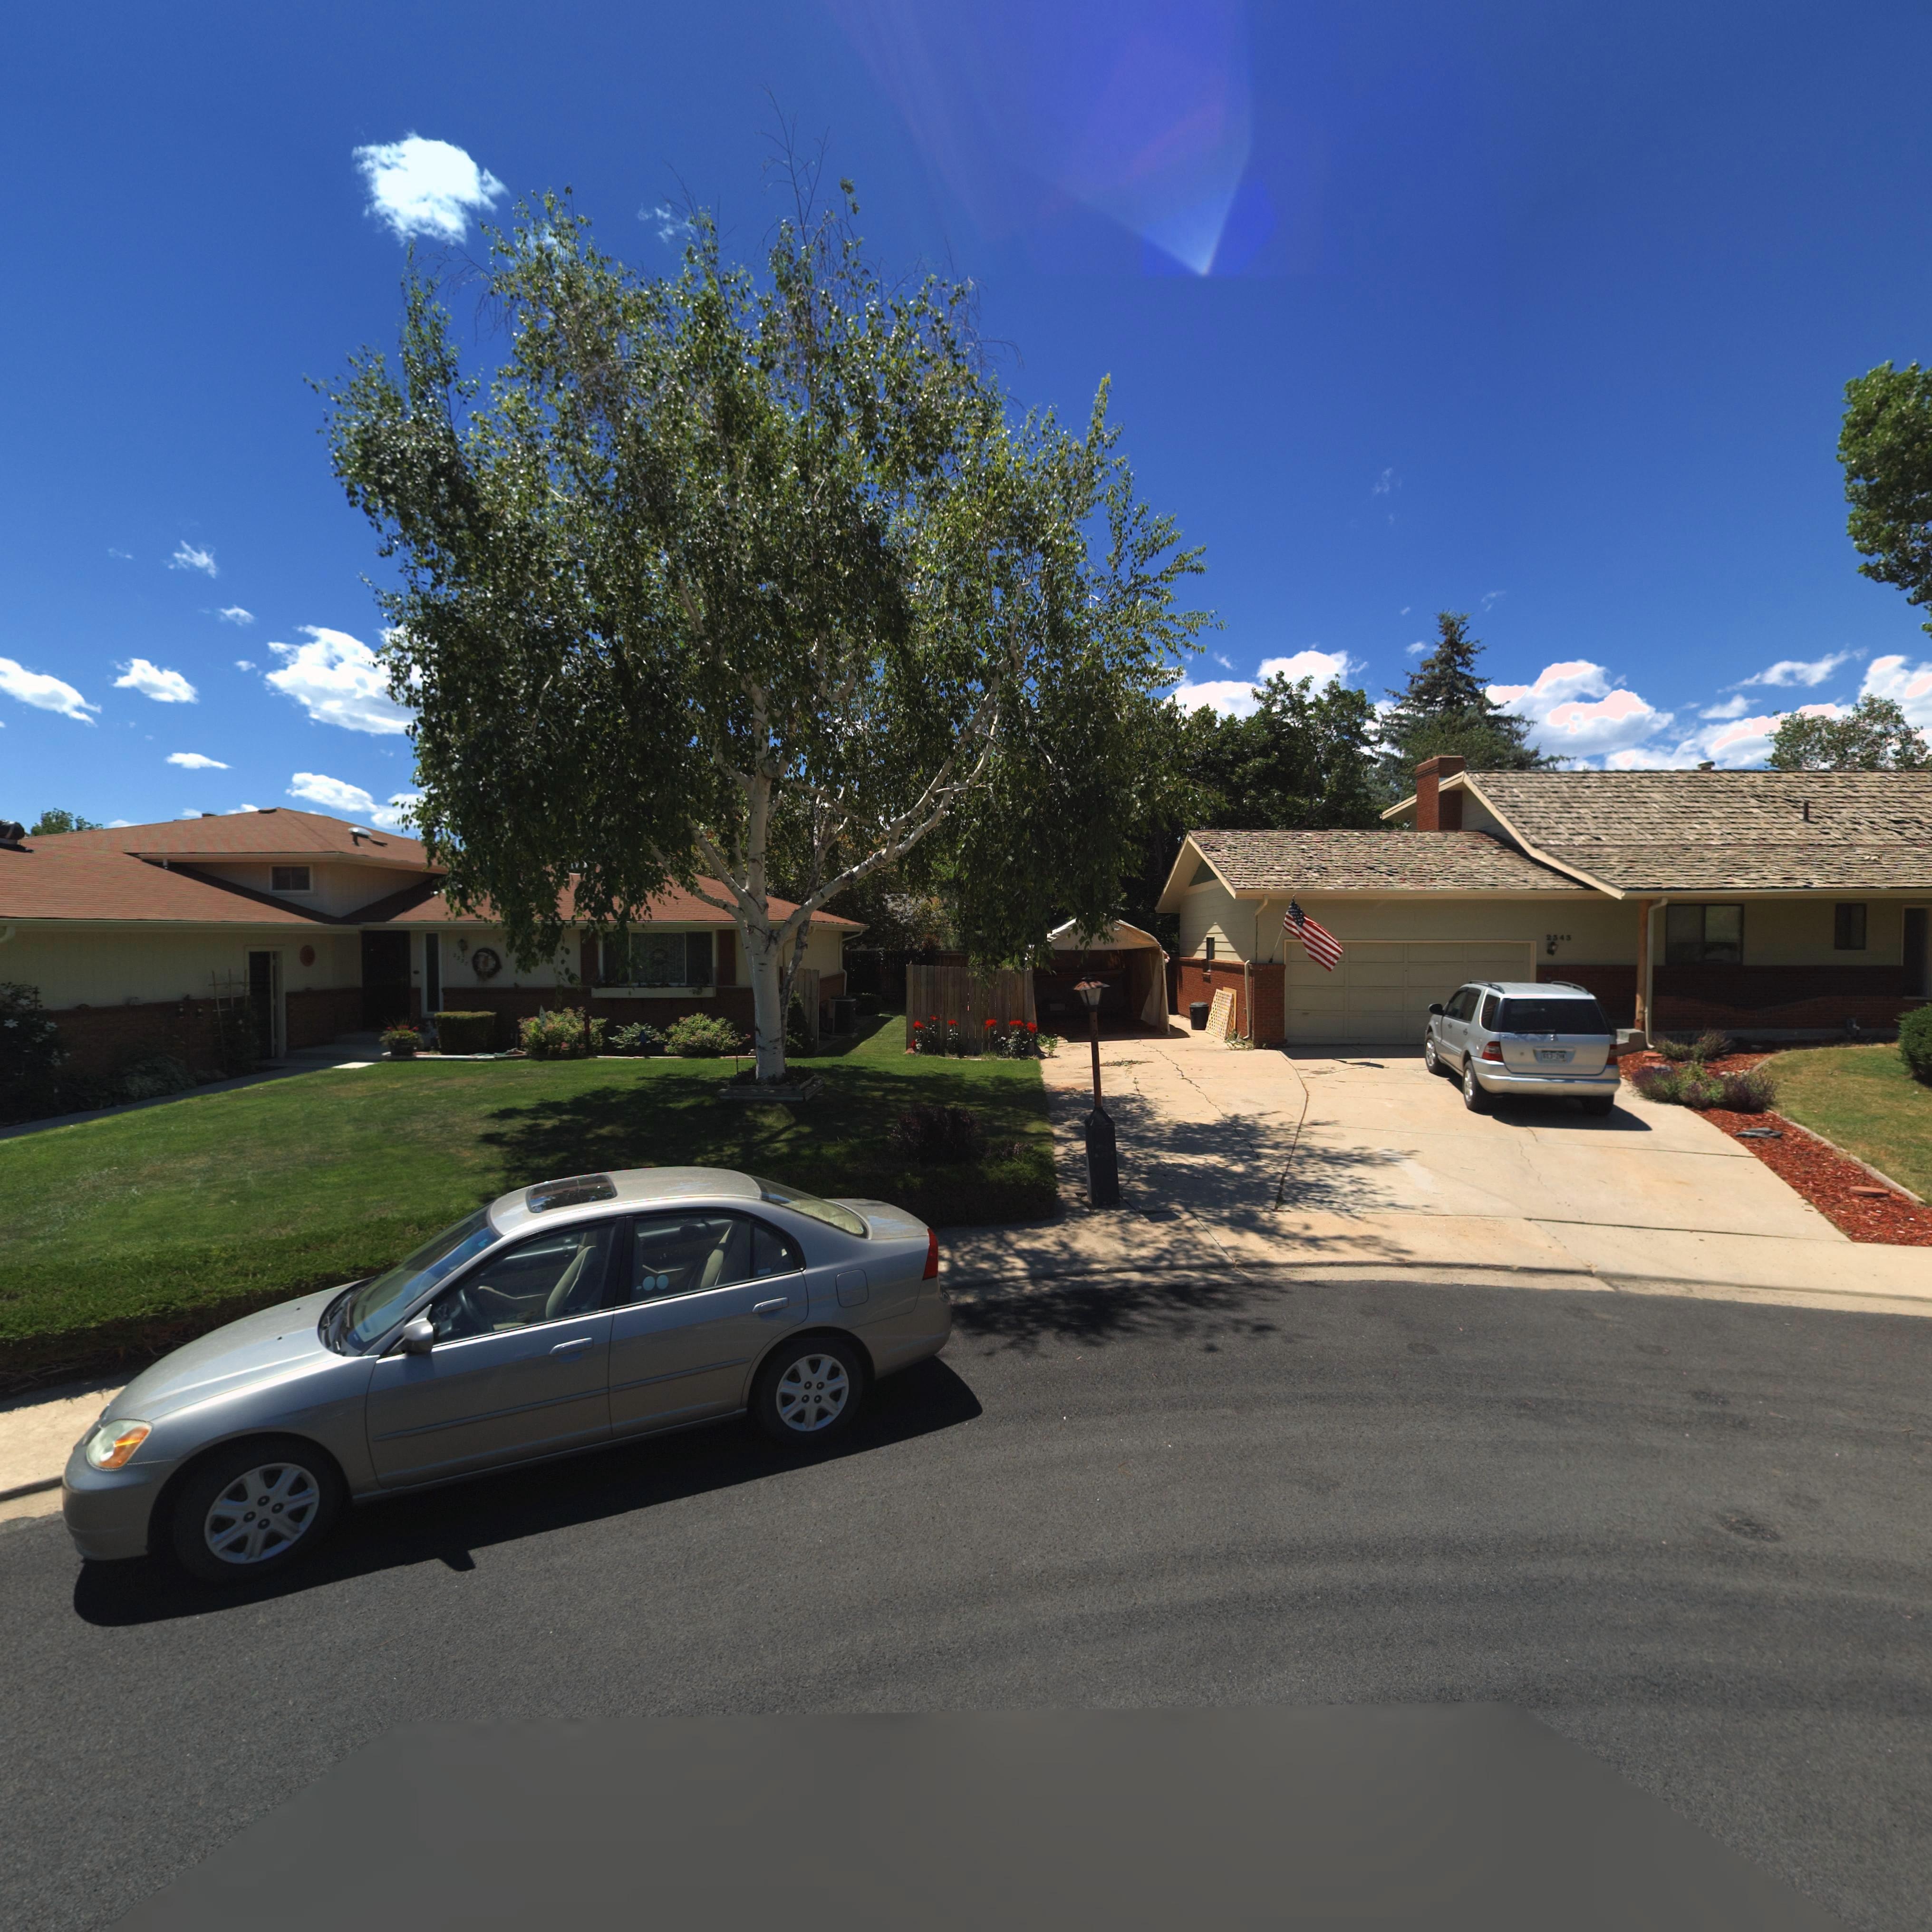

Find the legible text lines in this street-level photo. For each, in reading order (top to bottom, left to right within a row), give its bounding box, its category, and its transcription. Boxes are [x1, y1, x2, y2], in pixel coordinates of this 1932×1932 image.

[1546, 933, 1572, 941] StreetNumber: 2343
[453, 952, 468, 966] StreetNumber: 2337